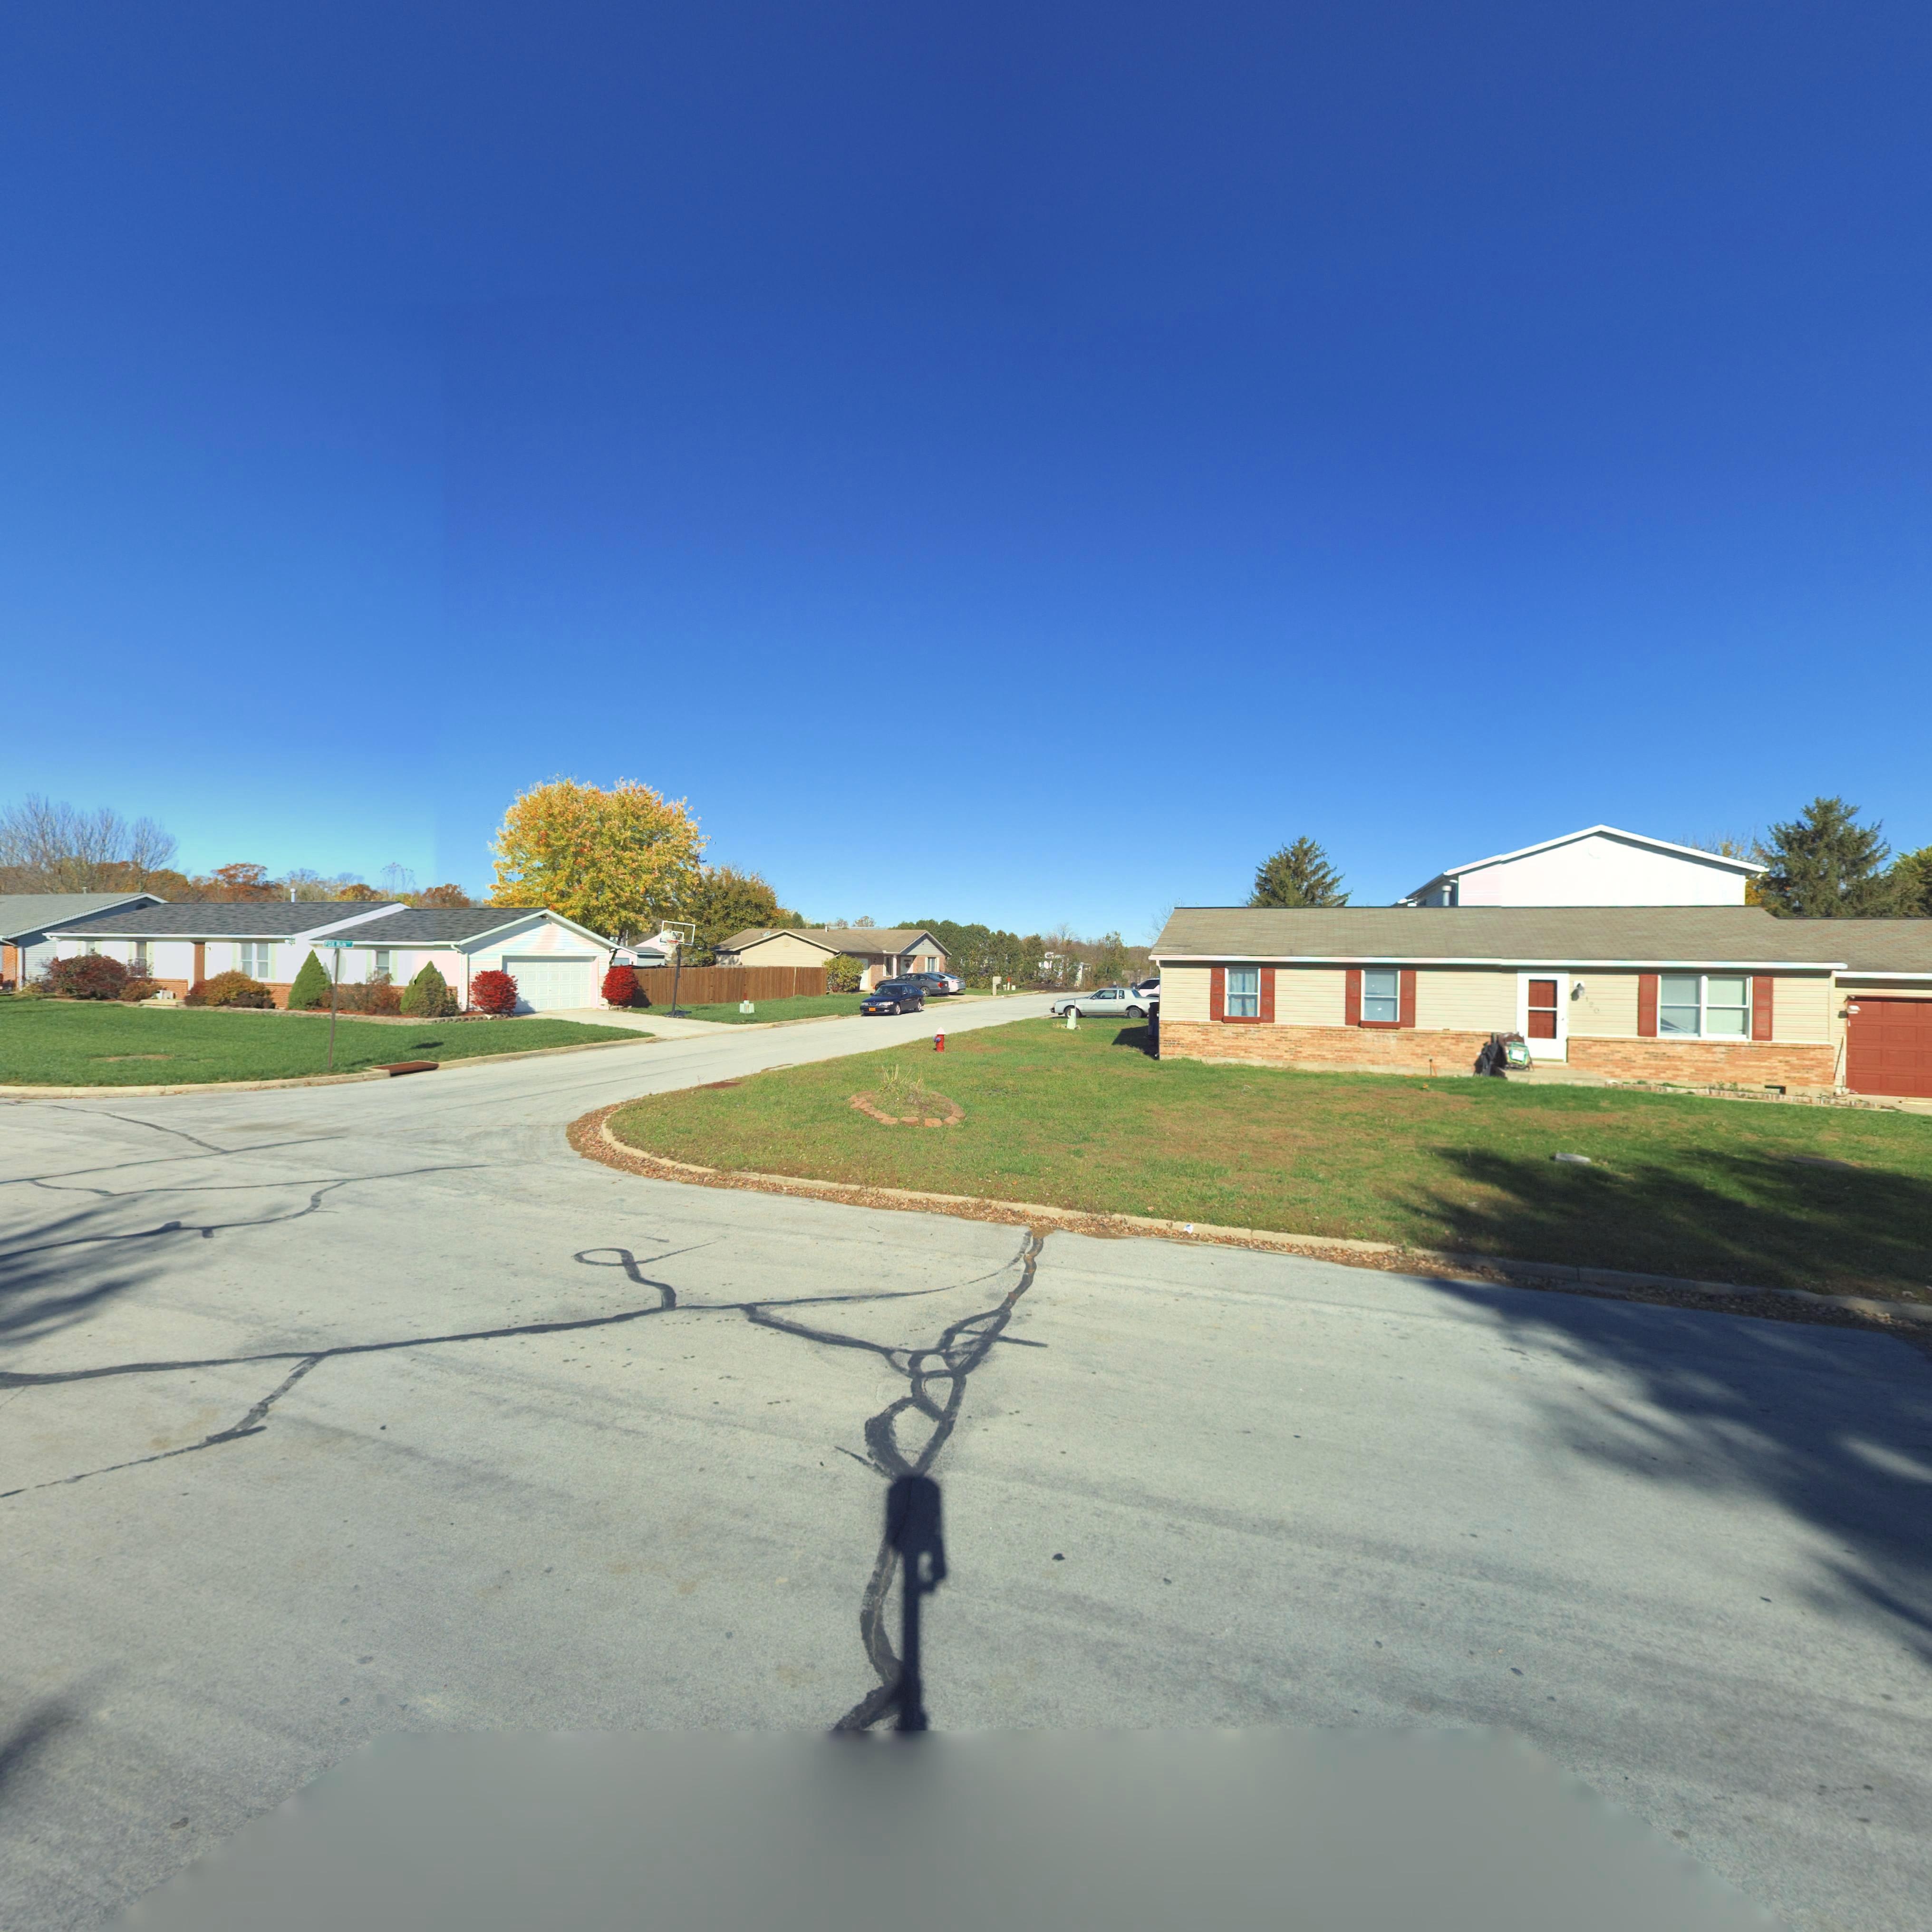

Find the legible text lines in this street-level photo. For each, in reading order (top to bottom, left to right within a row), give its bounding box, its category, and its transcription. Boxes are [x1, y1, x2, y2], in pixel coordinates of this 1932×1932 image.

[1584, 995, 1601, 1015] StreetNumber: 120